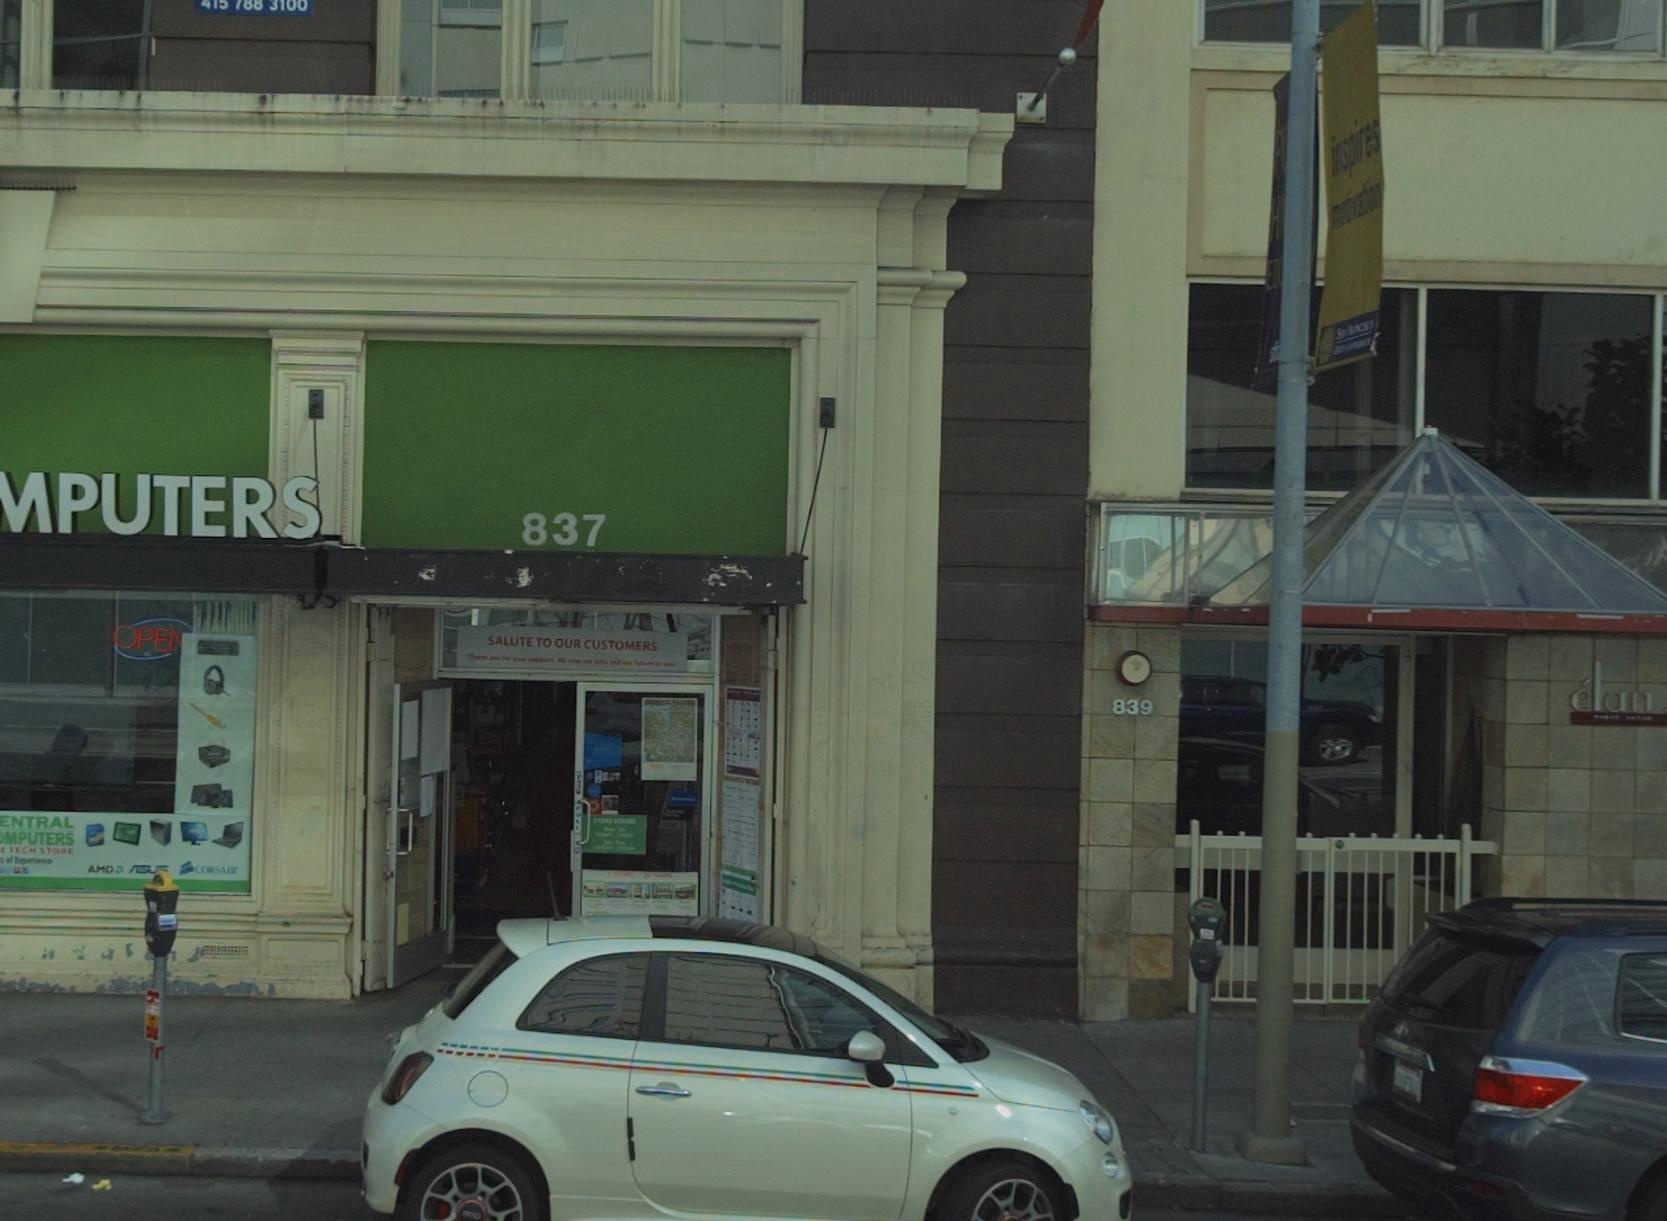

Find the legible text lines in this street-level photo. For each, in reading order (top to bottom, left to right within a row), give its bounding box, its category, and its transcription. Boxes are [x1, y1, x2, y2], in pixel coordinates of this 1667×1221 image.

[1322, 103, 1384, 183] None: inspires
[1347, 169, 1386, 228] None: nation
[52, 463, 328, 547] BusinessName: PUTERS
[516, 508, 616, 554] StreetNumber: 837
[108, 618, 177, 658] None: OPE
[483, 632, 660, 656] None: SALUTE TO OUR CUSTOMERS
[1565, 654, 1655, 717] BusinessName: elan
[1109, 694, 1156, 719] StreetNumber: 839
[6, 811, 81, 833] None: NTRAL
[574, 803, 582, 833] None: PULL
[1, 829, 78, 845] None: MPUTERS
[4, 844, 80, 860] None: TECH STORE
[85, 863, 117, 876] None: AMD
[126, 862, 153, 877] None: AS
[191, 862, 243, 876] None: CORSAIR